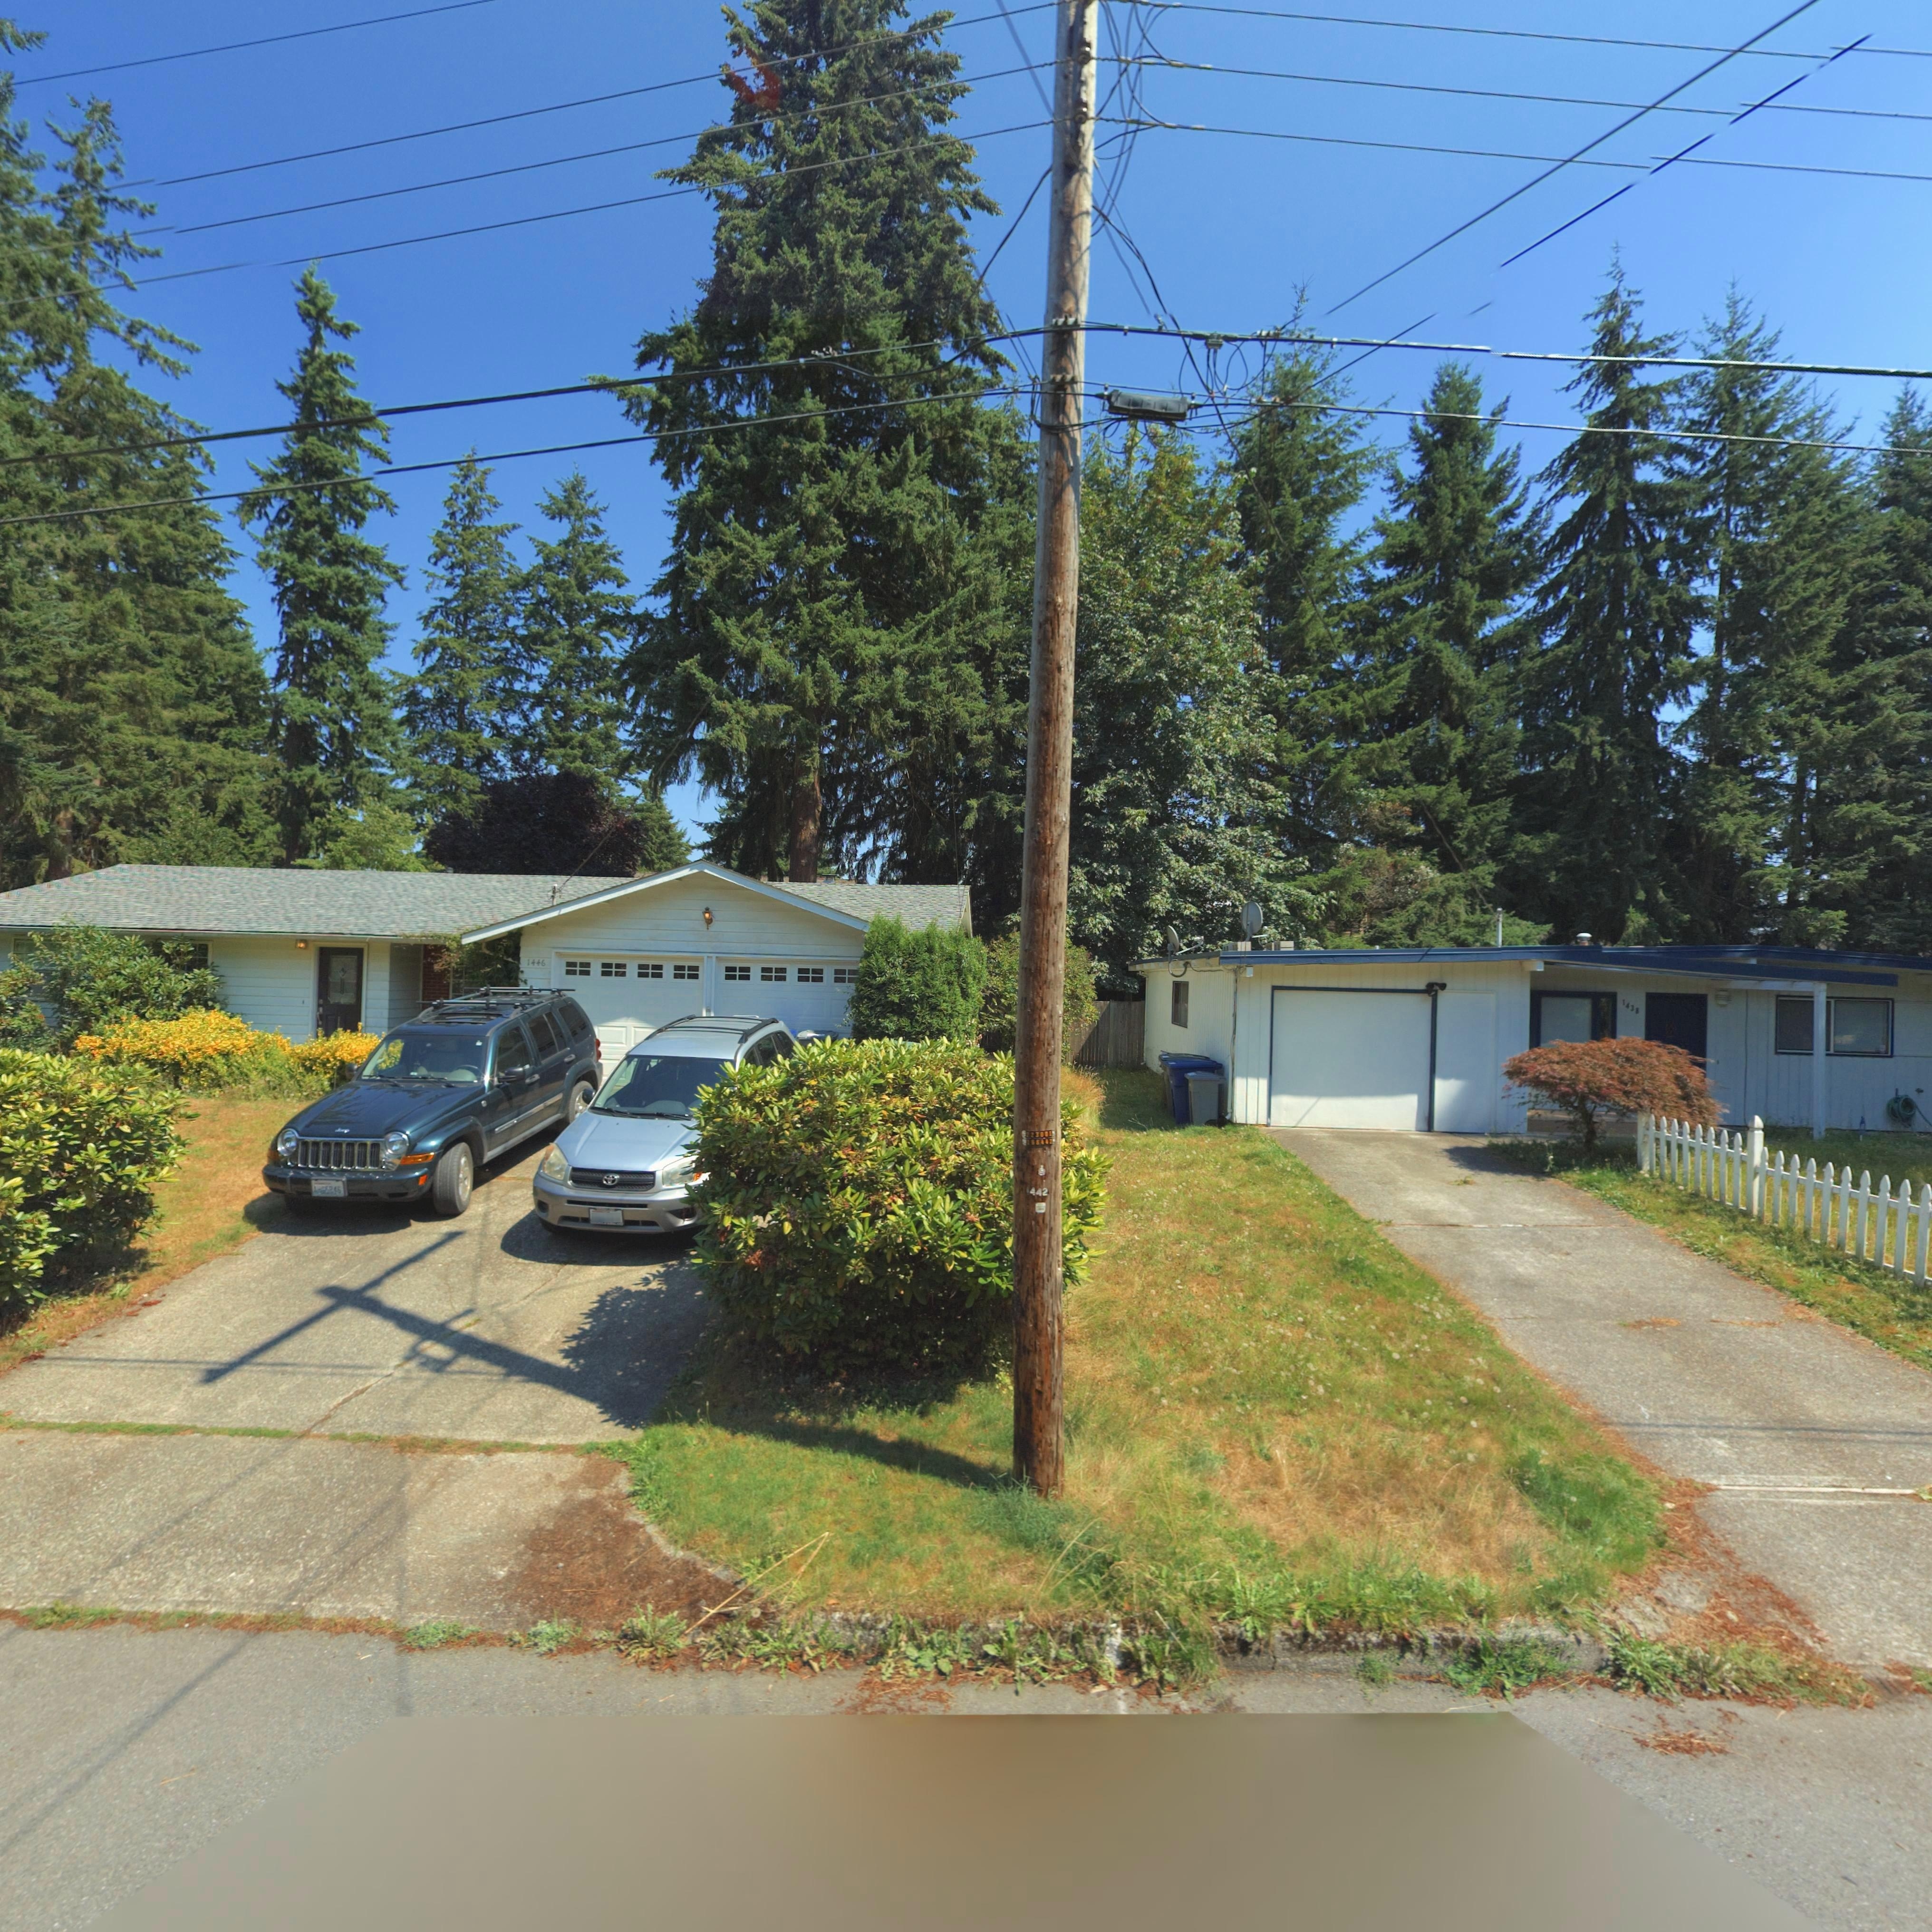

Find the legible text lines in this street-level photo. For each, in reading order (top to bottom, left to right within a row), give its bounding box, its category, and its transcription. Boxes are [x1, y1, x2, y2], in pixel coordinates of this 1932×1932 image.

[527, 958, 545, 966] StreetNumber: 1446
[1622, 999, 1639, 1014] StreetNumber: 1438